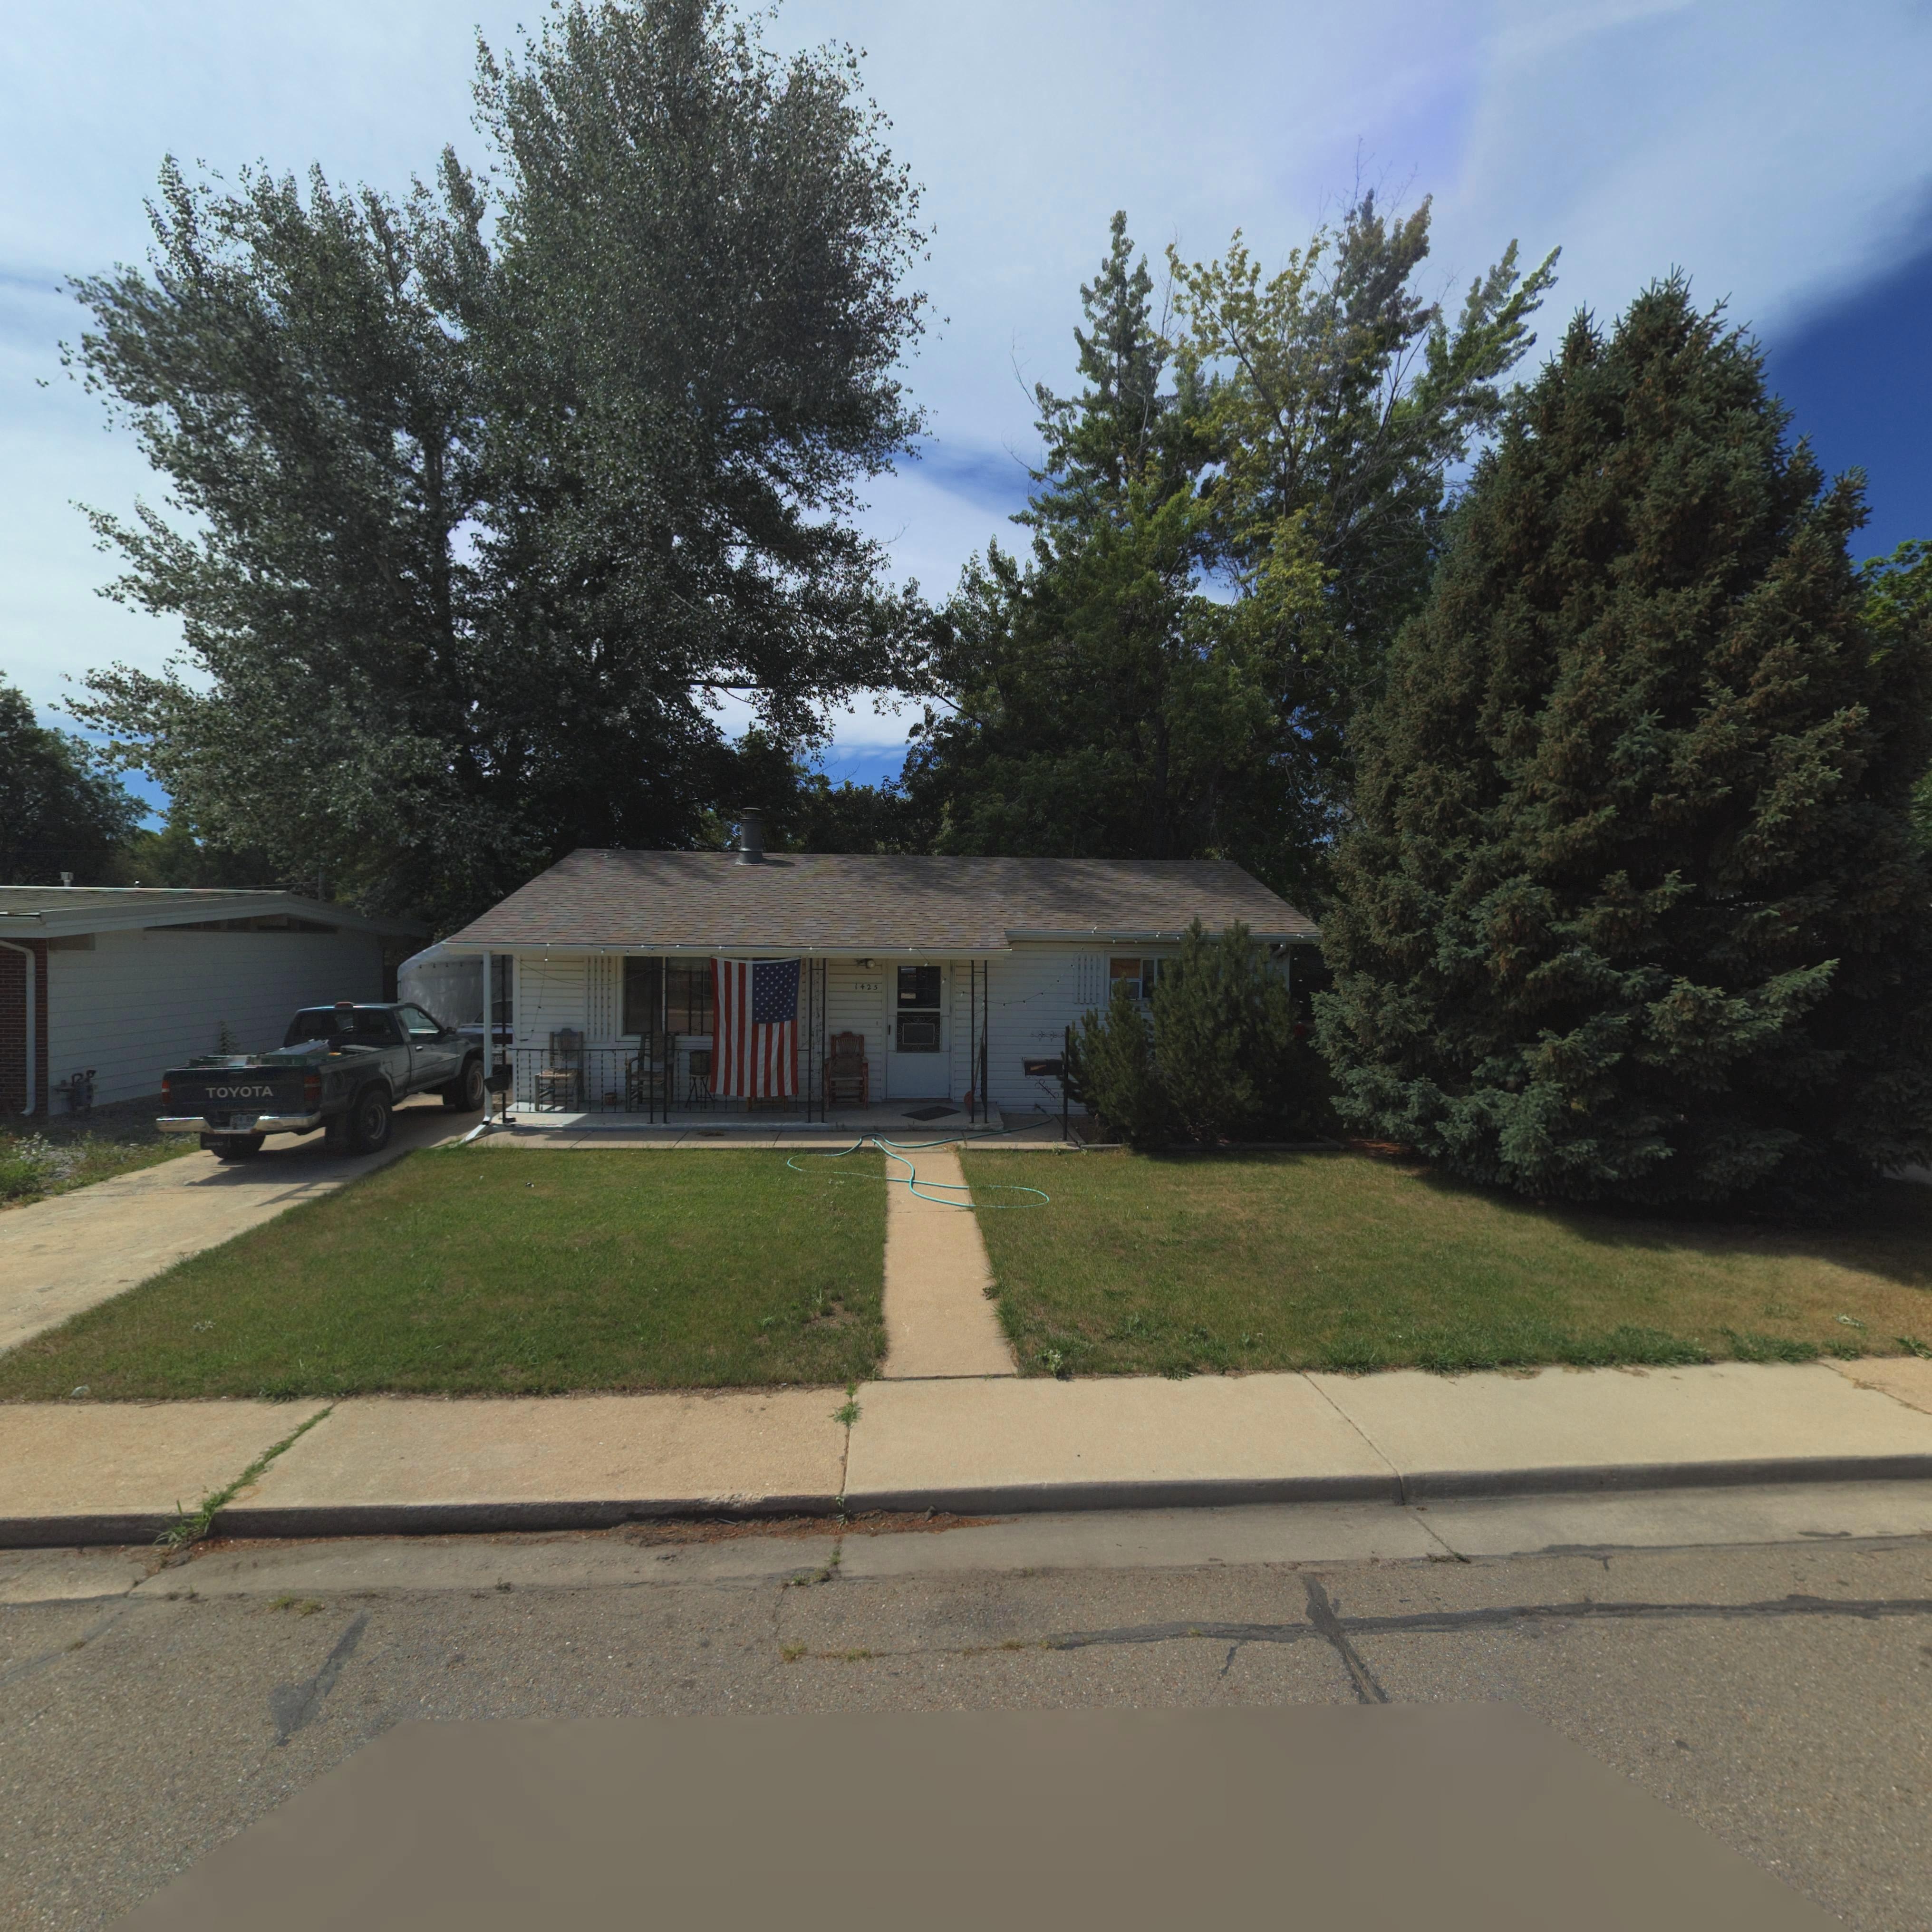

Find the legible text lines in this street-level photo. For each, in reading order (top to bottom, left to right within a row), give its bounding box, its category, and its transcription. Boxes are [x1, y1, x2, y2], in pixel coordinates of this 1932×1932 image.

[855, 983, 877, 990] StreetNumber: 1425